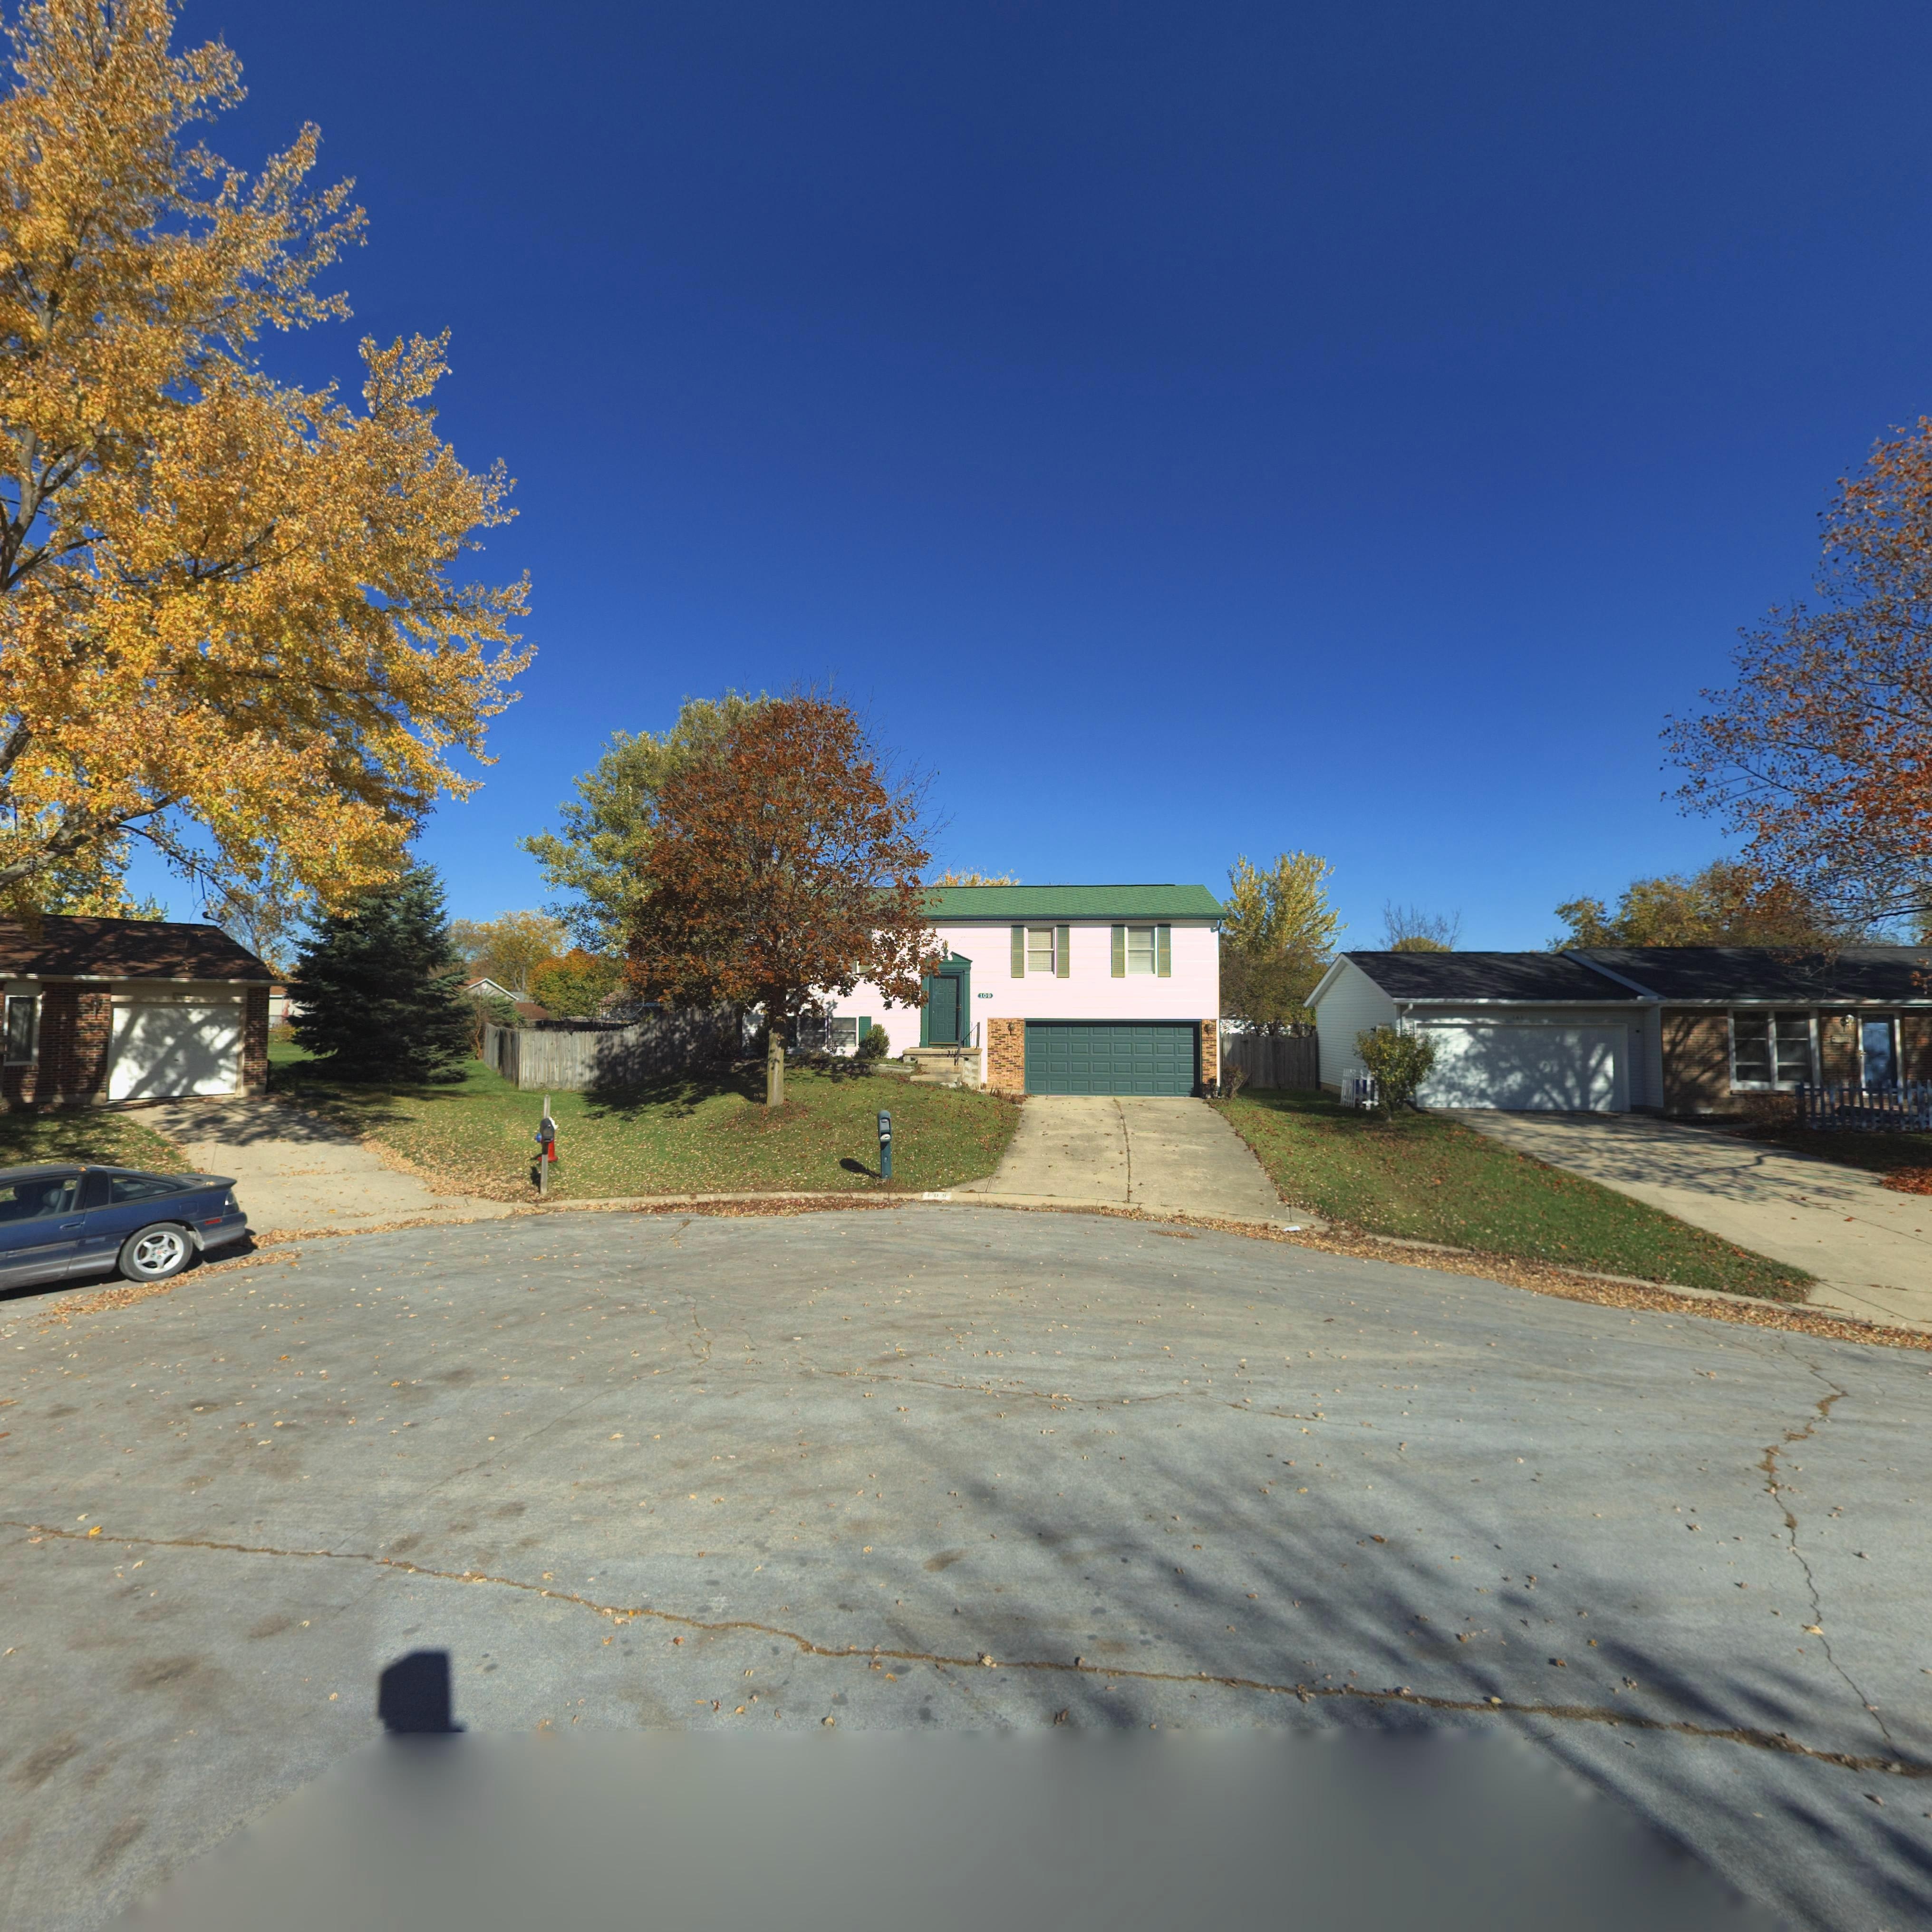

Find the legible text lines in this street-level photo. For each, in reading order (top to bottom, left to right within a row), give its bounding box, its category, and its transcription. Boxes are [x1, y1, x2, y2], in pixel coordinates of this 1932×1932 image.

[979, 993, 992, 999] StreetNumber: 109
[926, 1192, 947, 1198] StreetNumber: 109